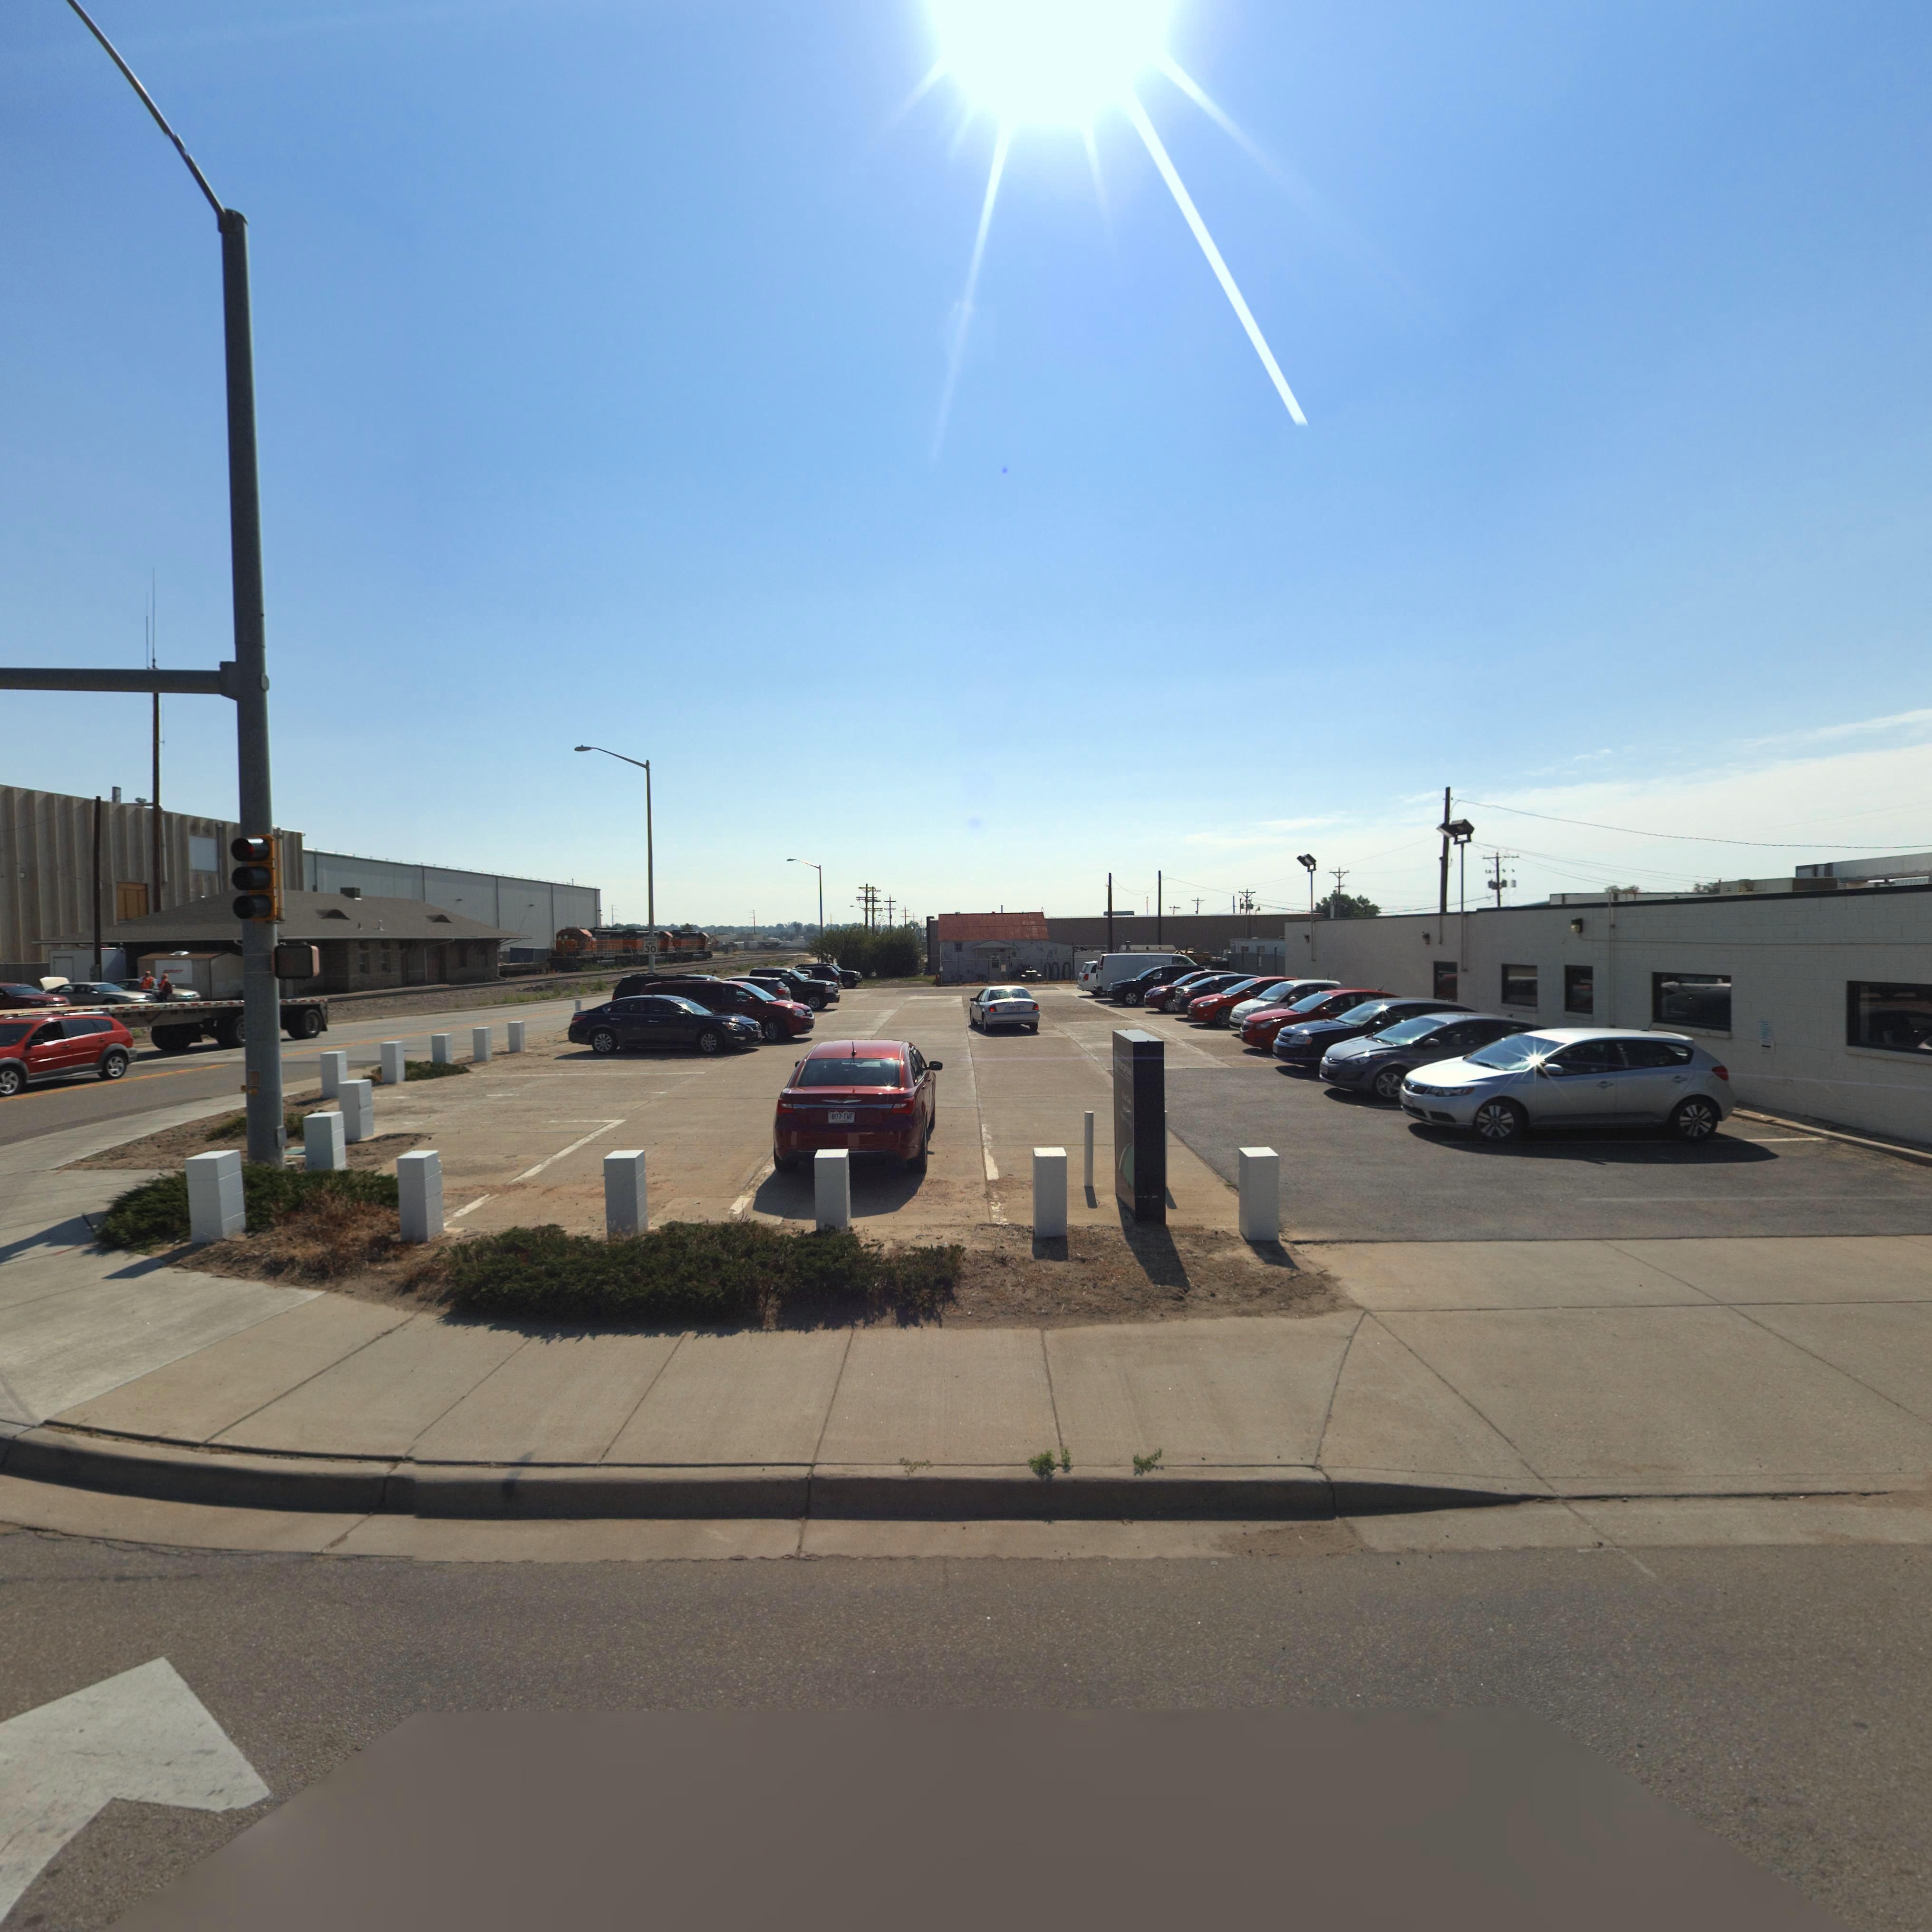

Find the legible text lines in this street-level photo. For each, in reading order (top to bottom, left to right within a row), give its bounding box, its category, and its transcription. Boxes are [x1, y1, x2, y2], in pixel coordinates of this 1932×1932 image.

[1118, 1060, 1132, 1077] BusinessName: ***erpr***